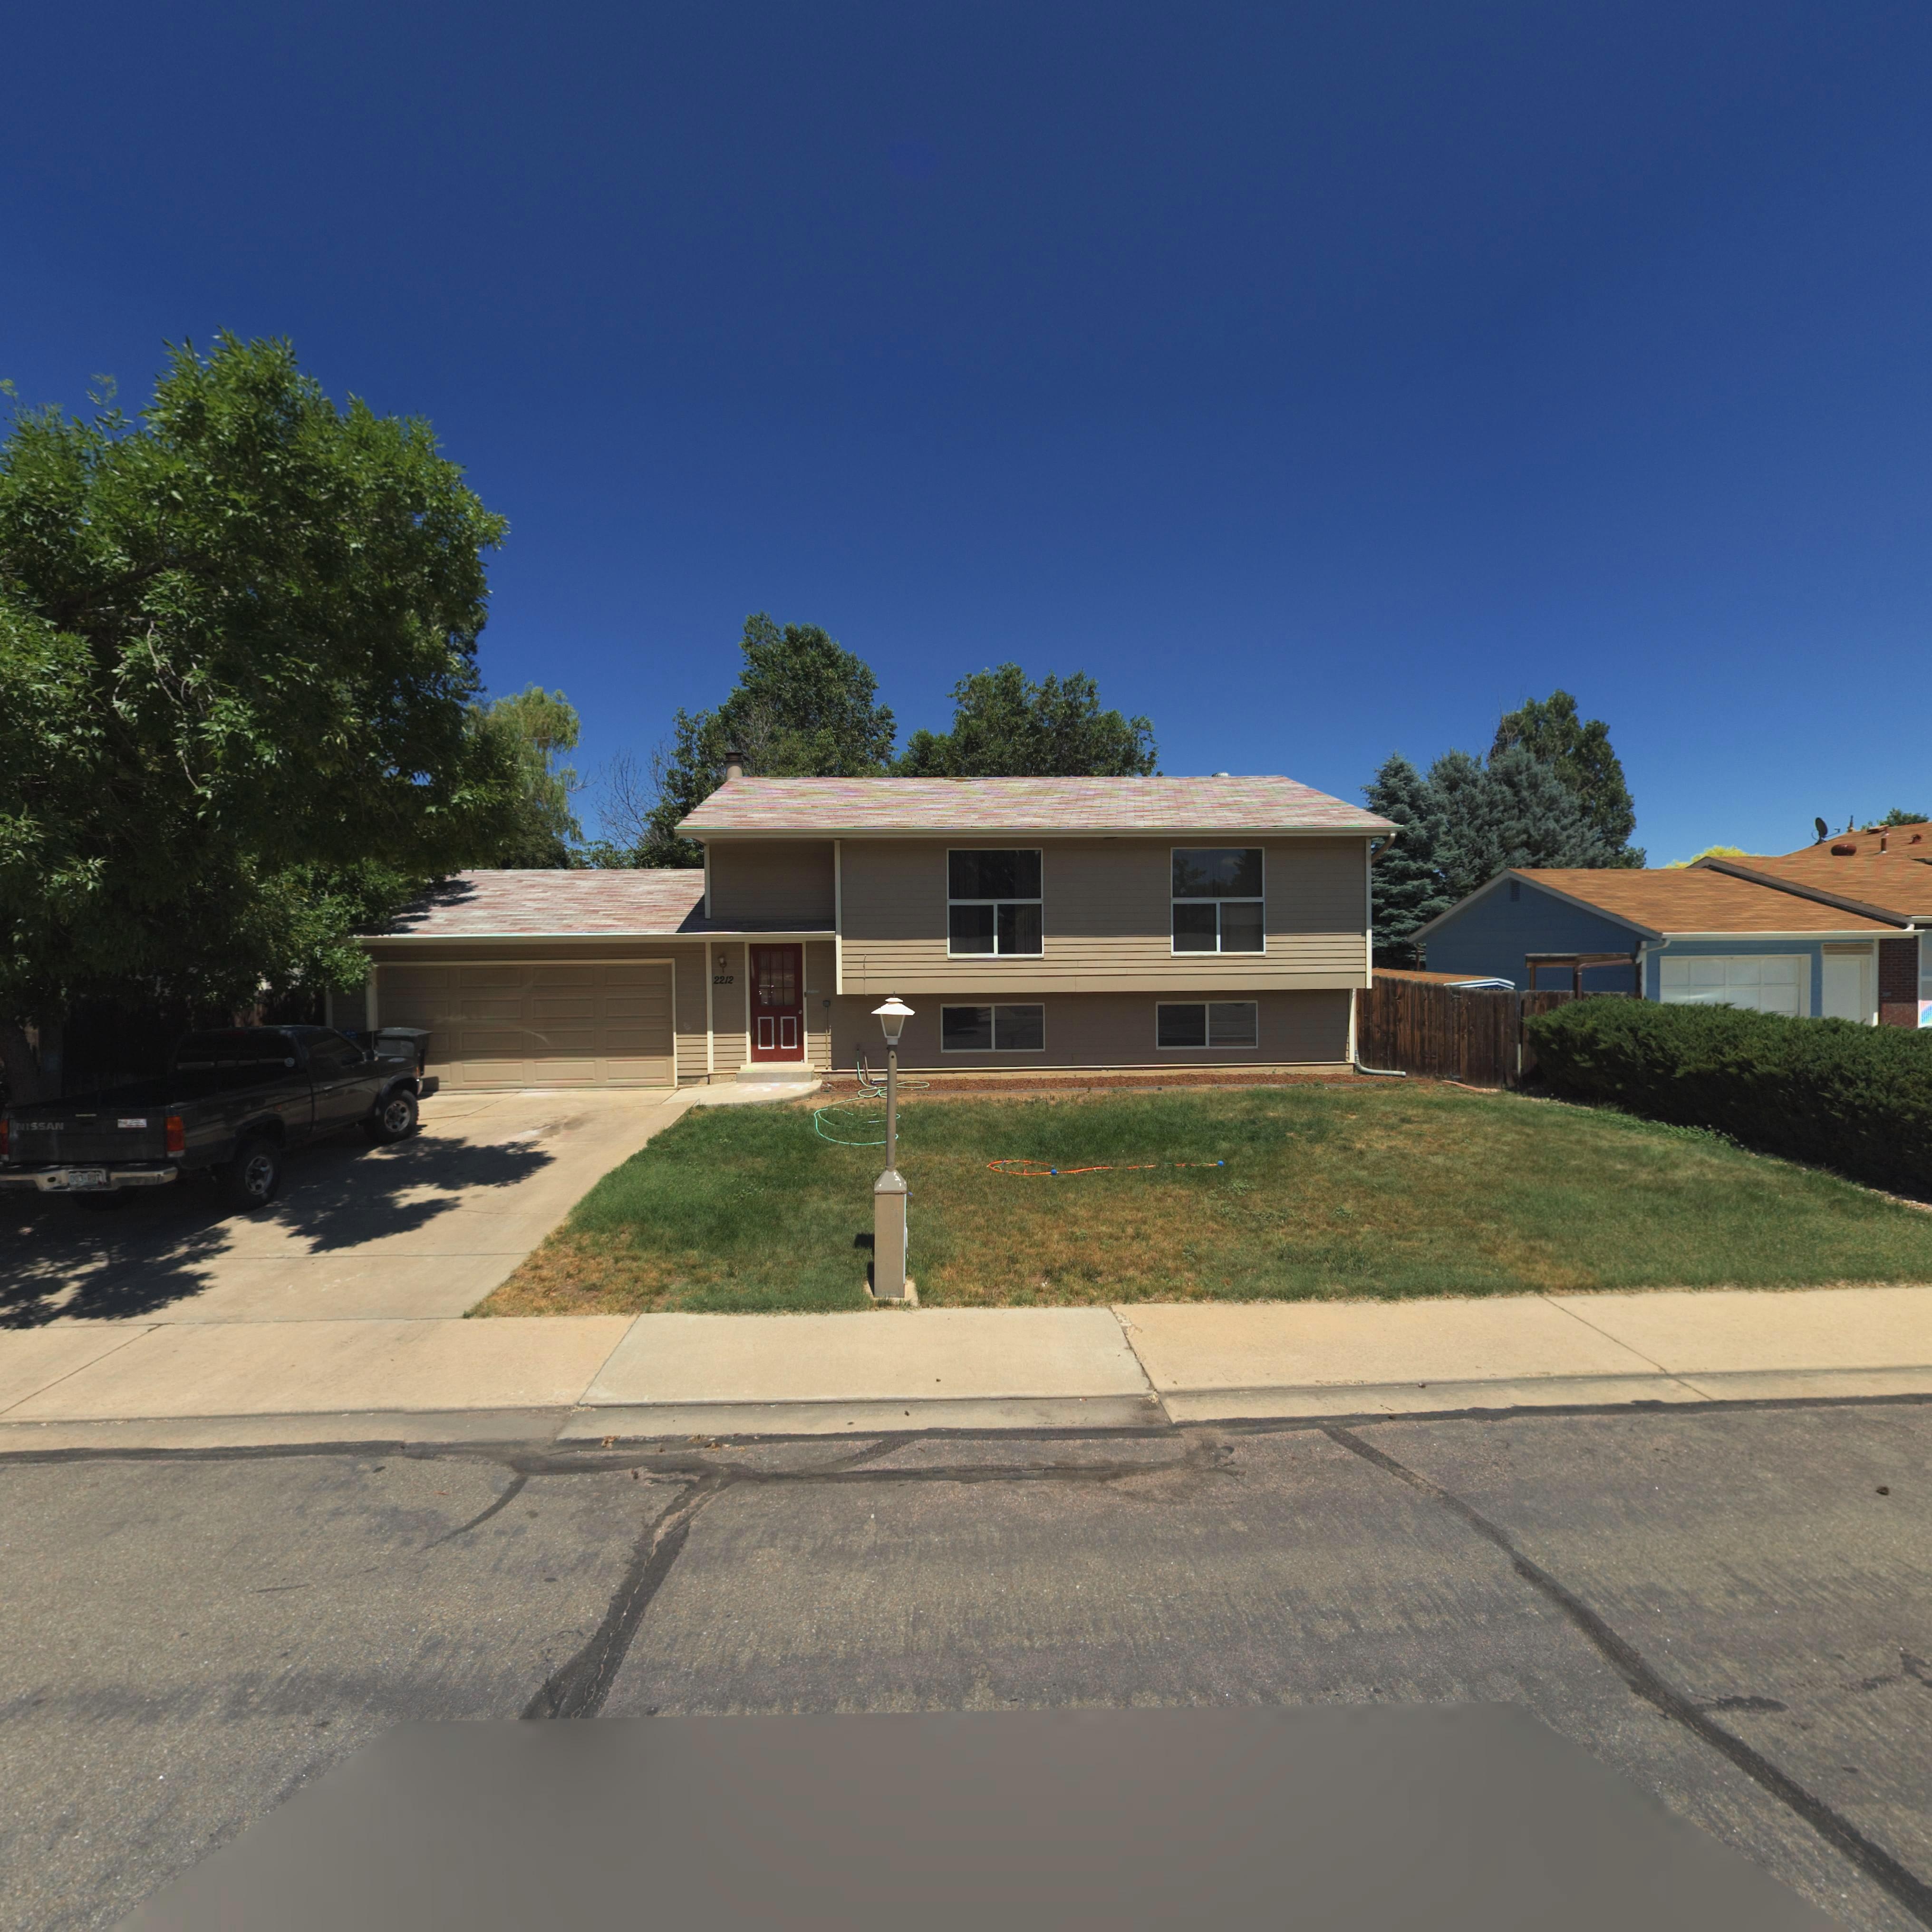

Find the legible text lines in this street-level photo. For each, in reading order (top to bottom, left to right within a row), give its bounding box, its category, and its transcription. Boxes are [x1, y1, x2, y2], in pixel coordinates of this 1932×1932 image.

[713, 975, 734, 984] StreetNumber: 2212